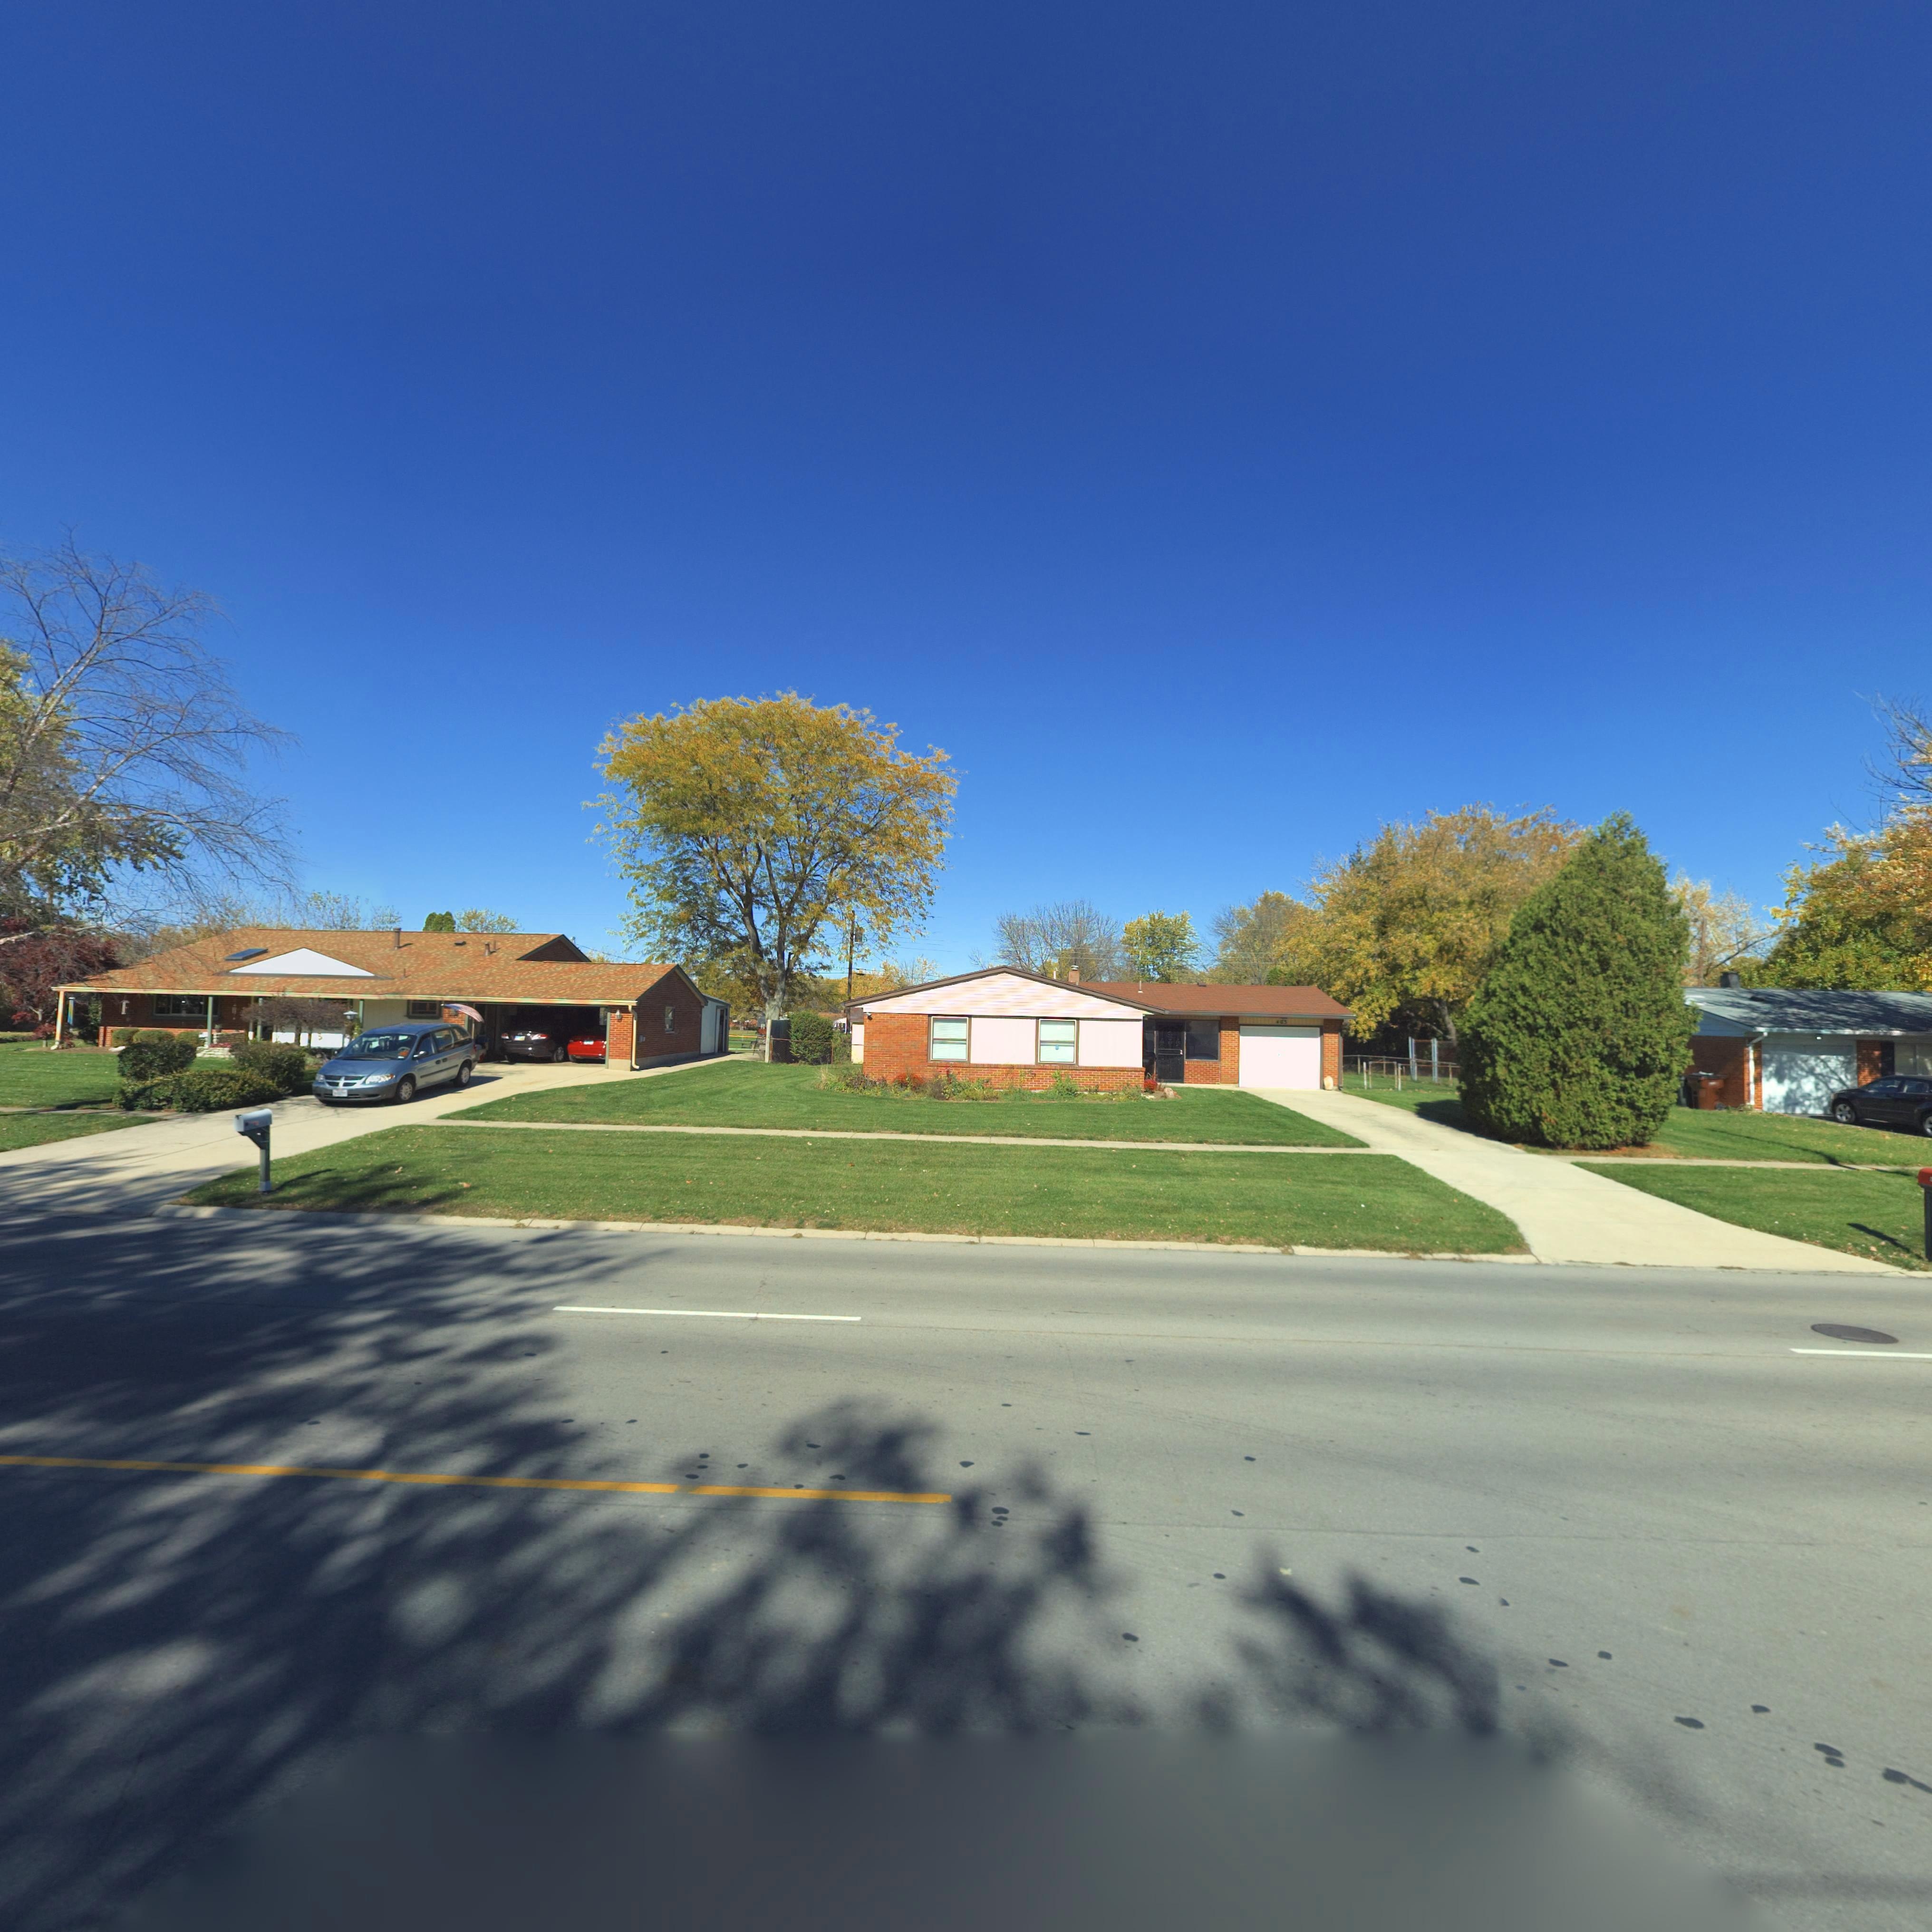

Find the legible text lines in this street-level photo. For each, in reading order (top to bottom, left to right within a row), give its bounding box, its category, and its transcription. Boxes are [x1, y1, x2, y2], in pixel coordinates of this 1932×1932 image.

[1275, 1019, 1288, 1025] StreetNumber: *03